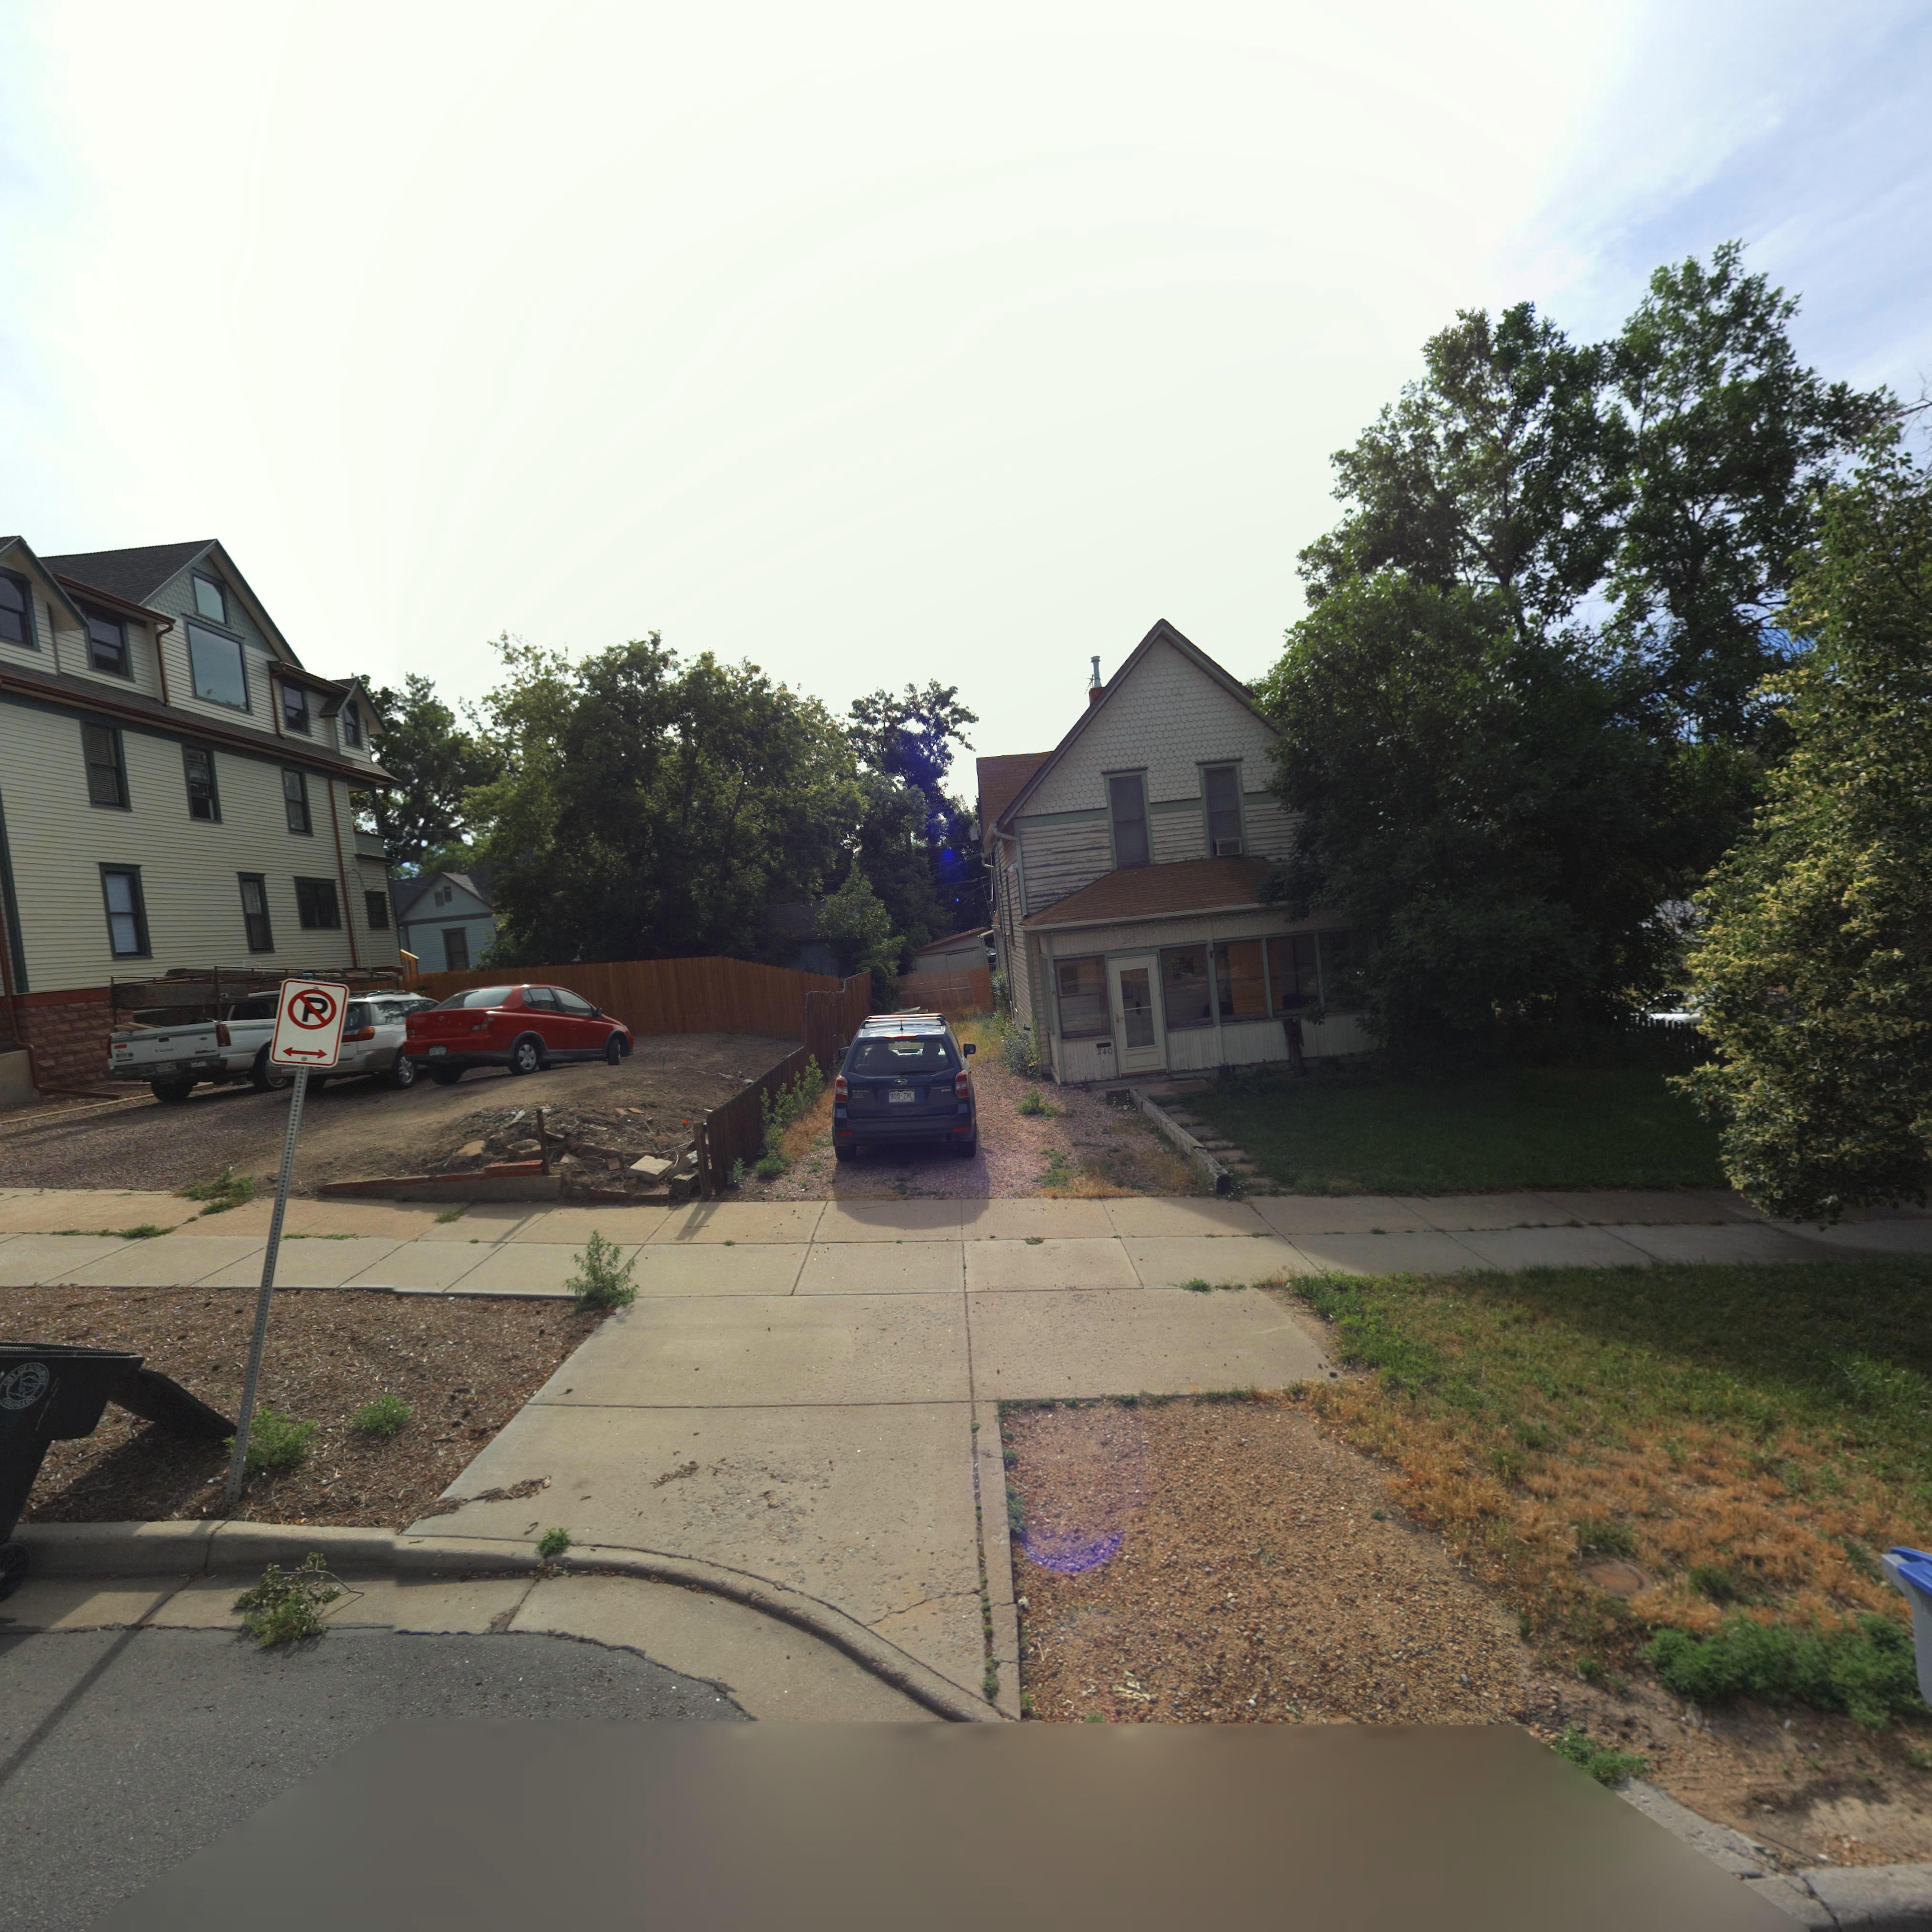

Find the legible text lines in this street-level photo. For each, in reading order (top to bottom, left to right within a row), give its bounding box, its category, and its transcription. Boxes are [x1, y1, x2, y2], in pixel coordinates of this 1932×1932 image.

[1121, 935, 1137, 944] StreetNumber: 2*0
[1096, 1047, 1113, 1055] StreetNumber: 240